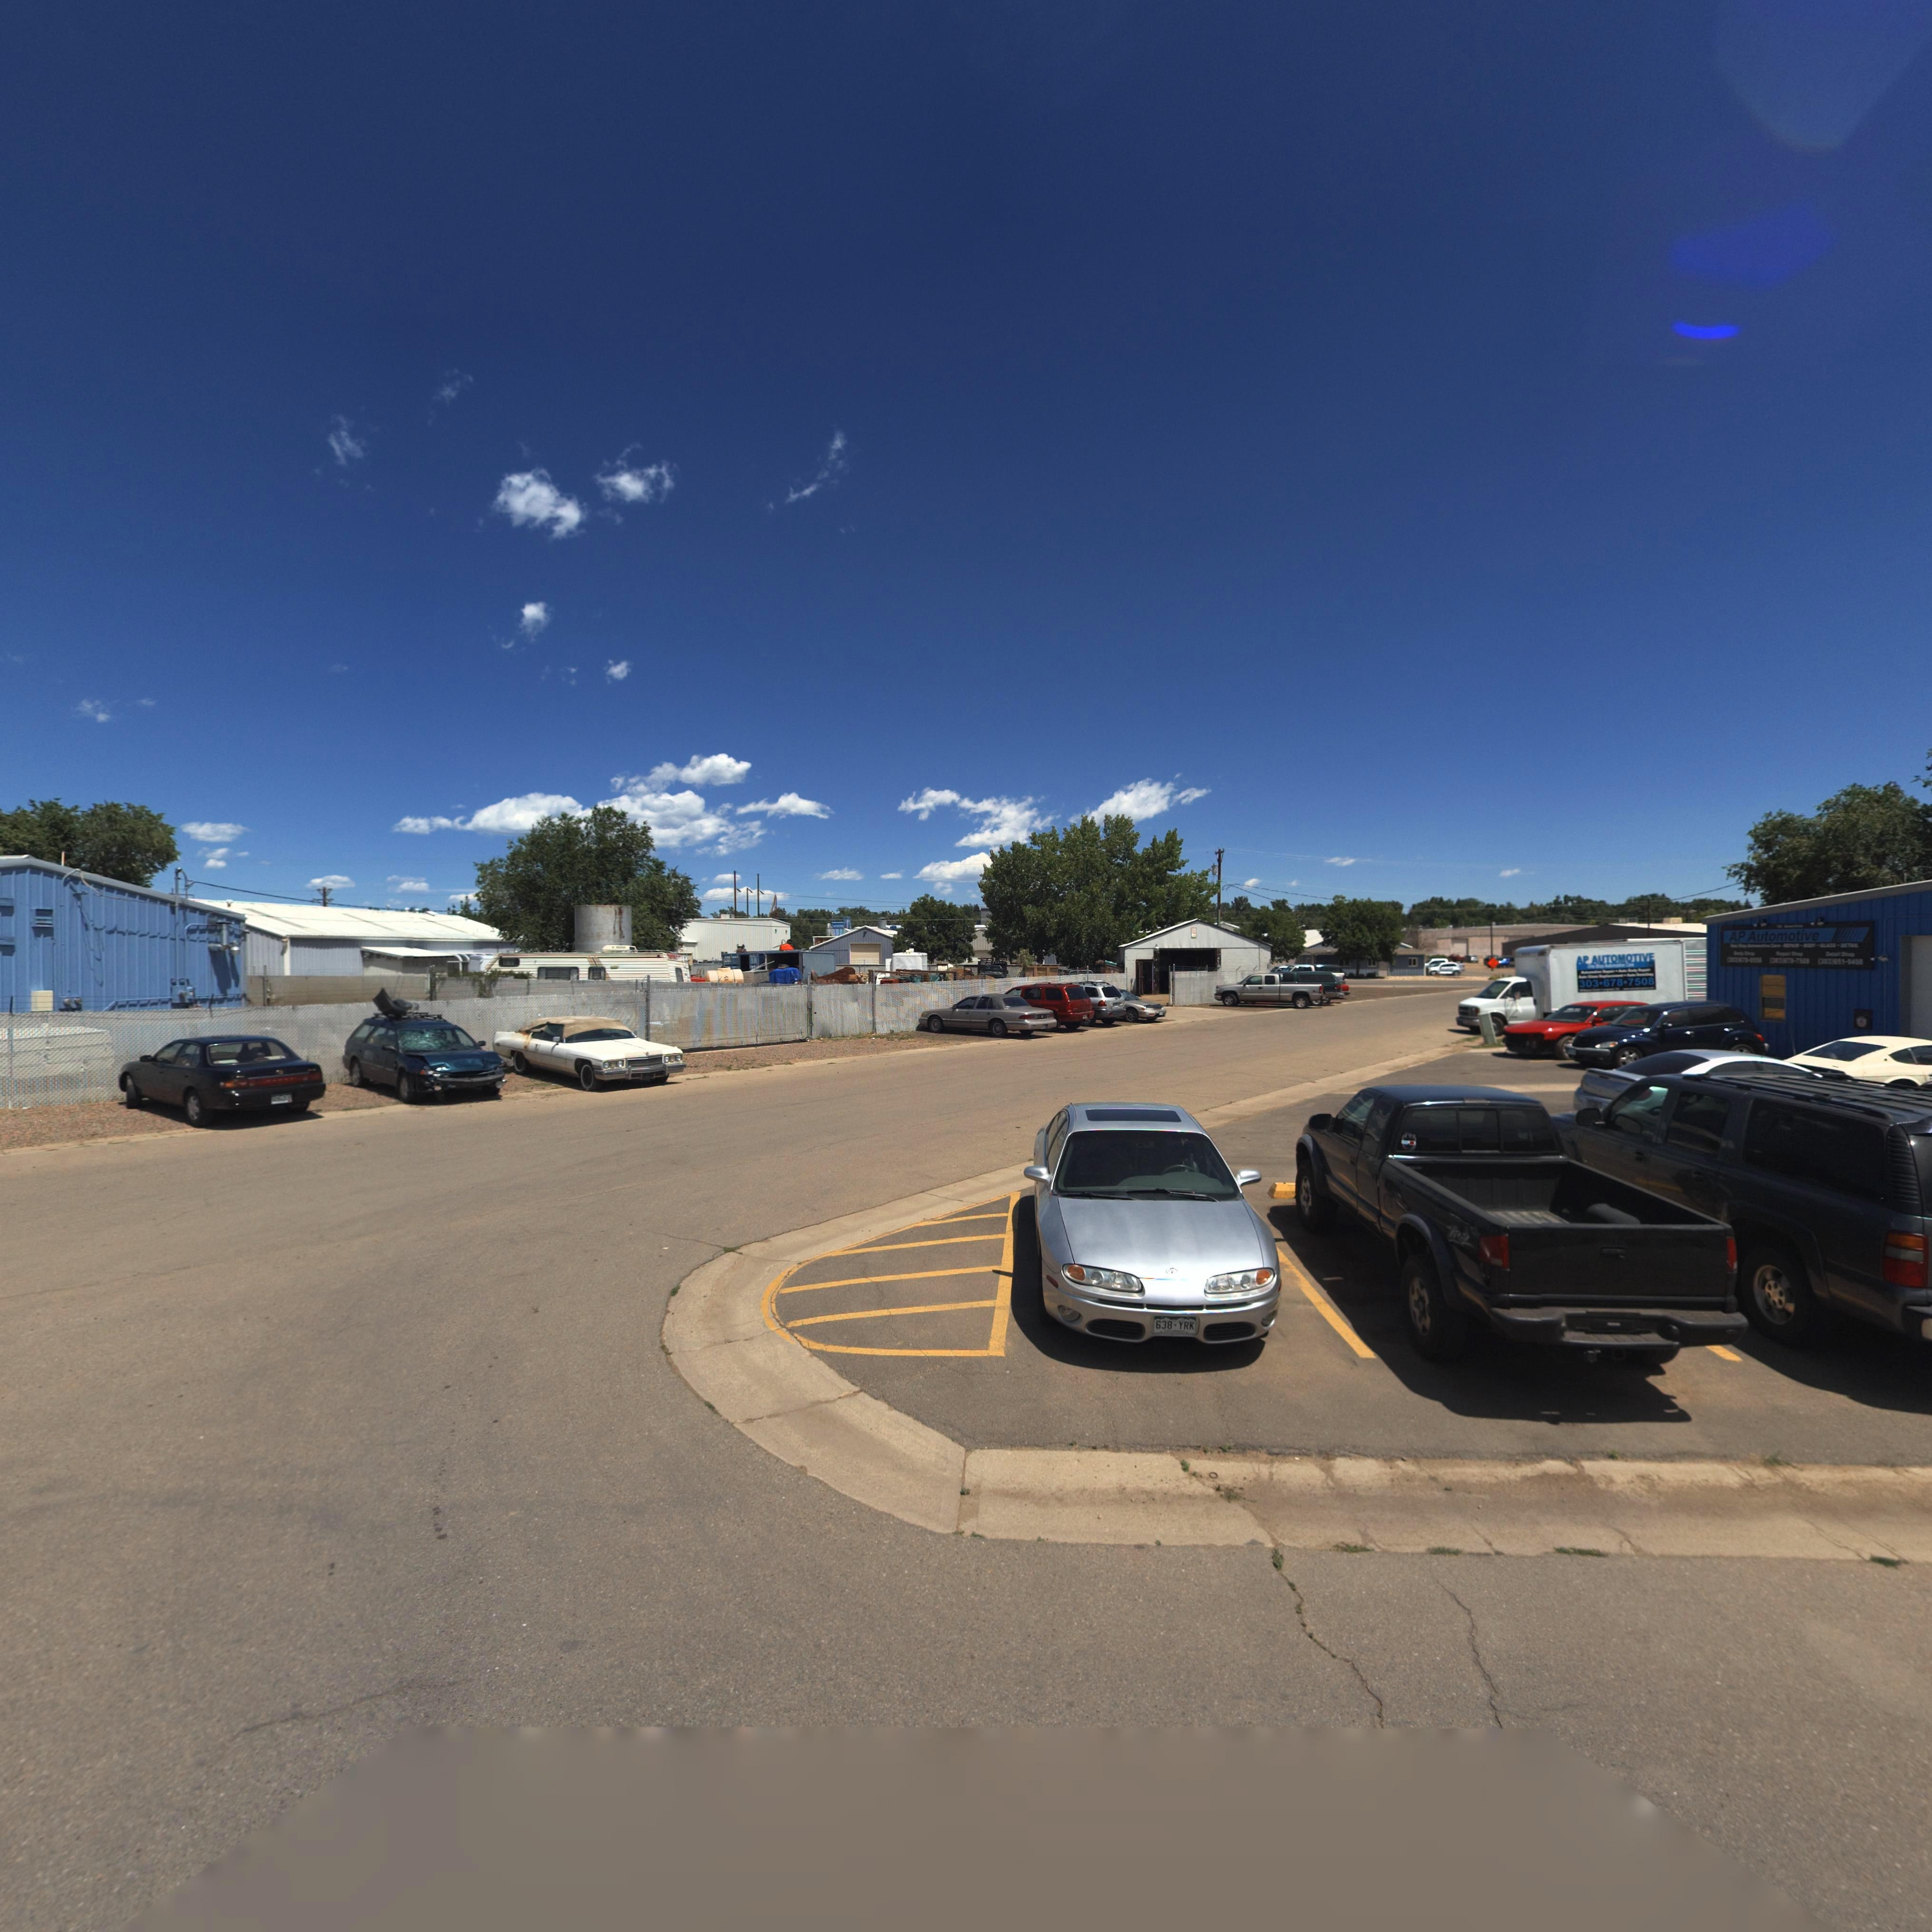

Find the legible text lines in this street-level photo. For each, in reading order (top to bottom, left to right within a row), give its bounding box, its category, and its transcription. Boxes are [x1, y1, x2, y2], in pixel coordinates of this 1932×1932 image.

[1725, 928, 1819, 942] BusinessName: AP Automotive